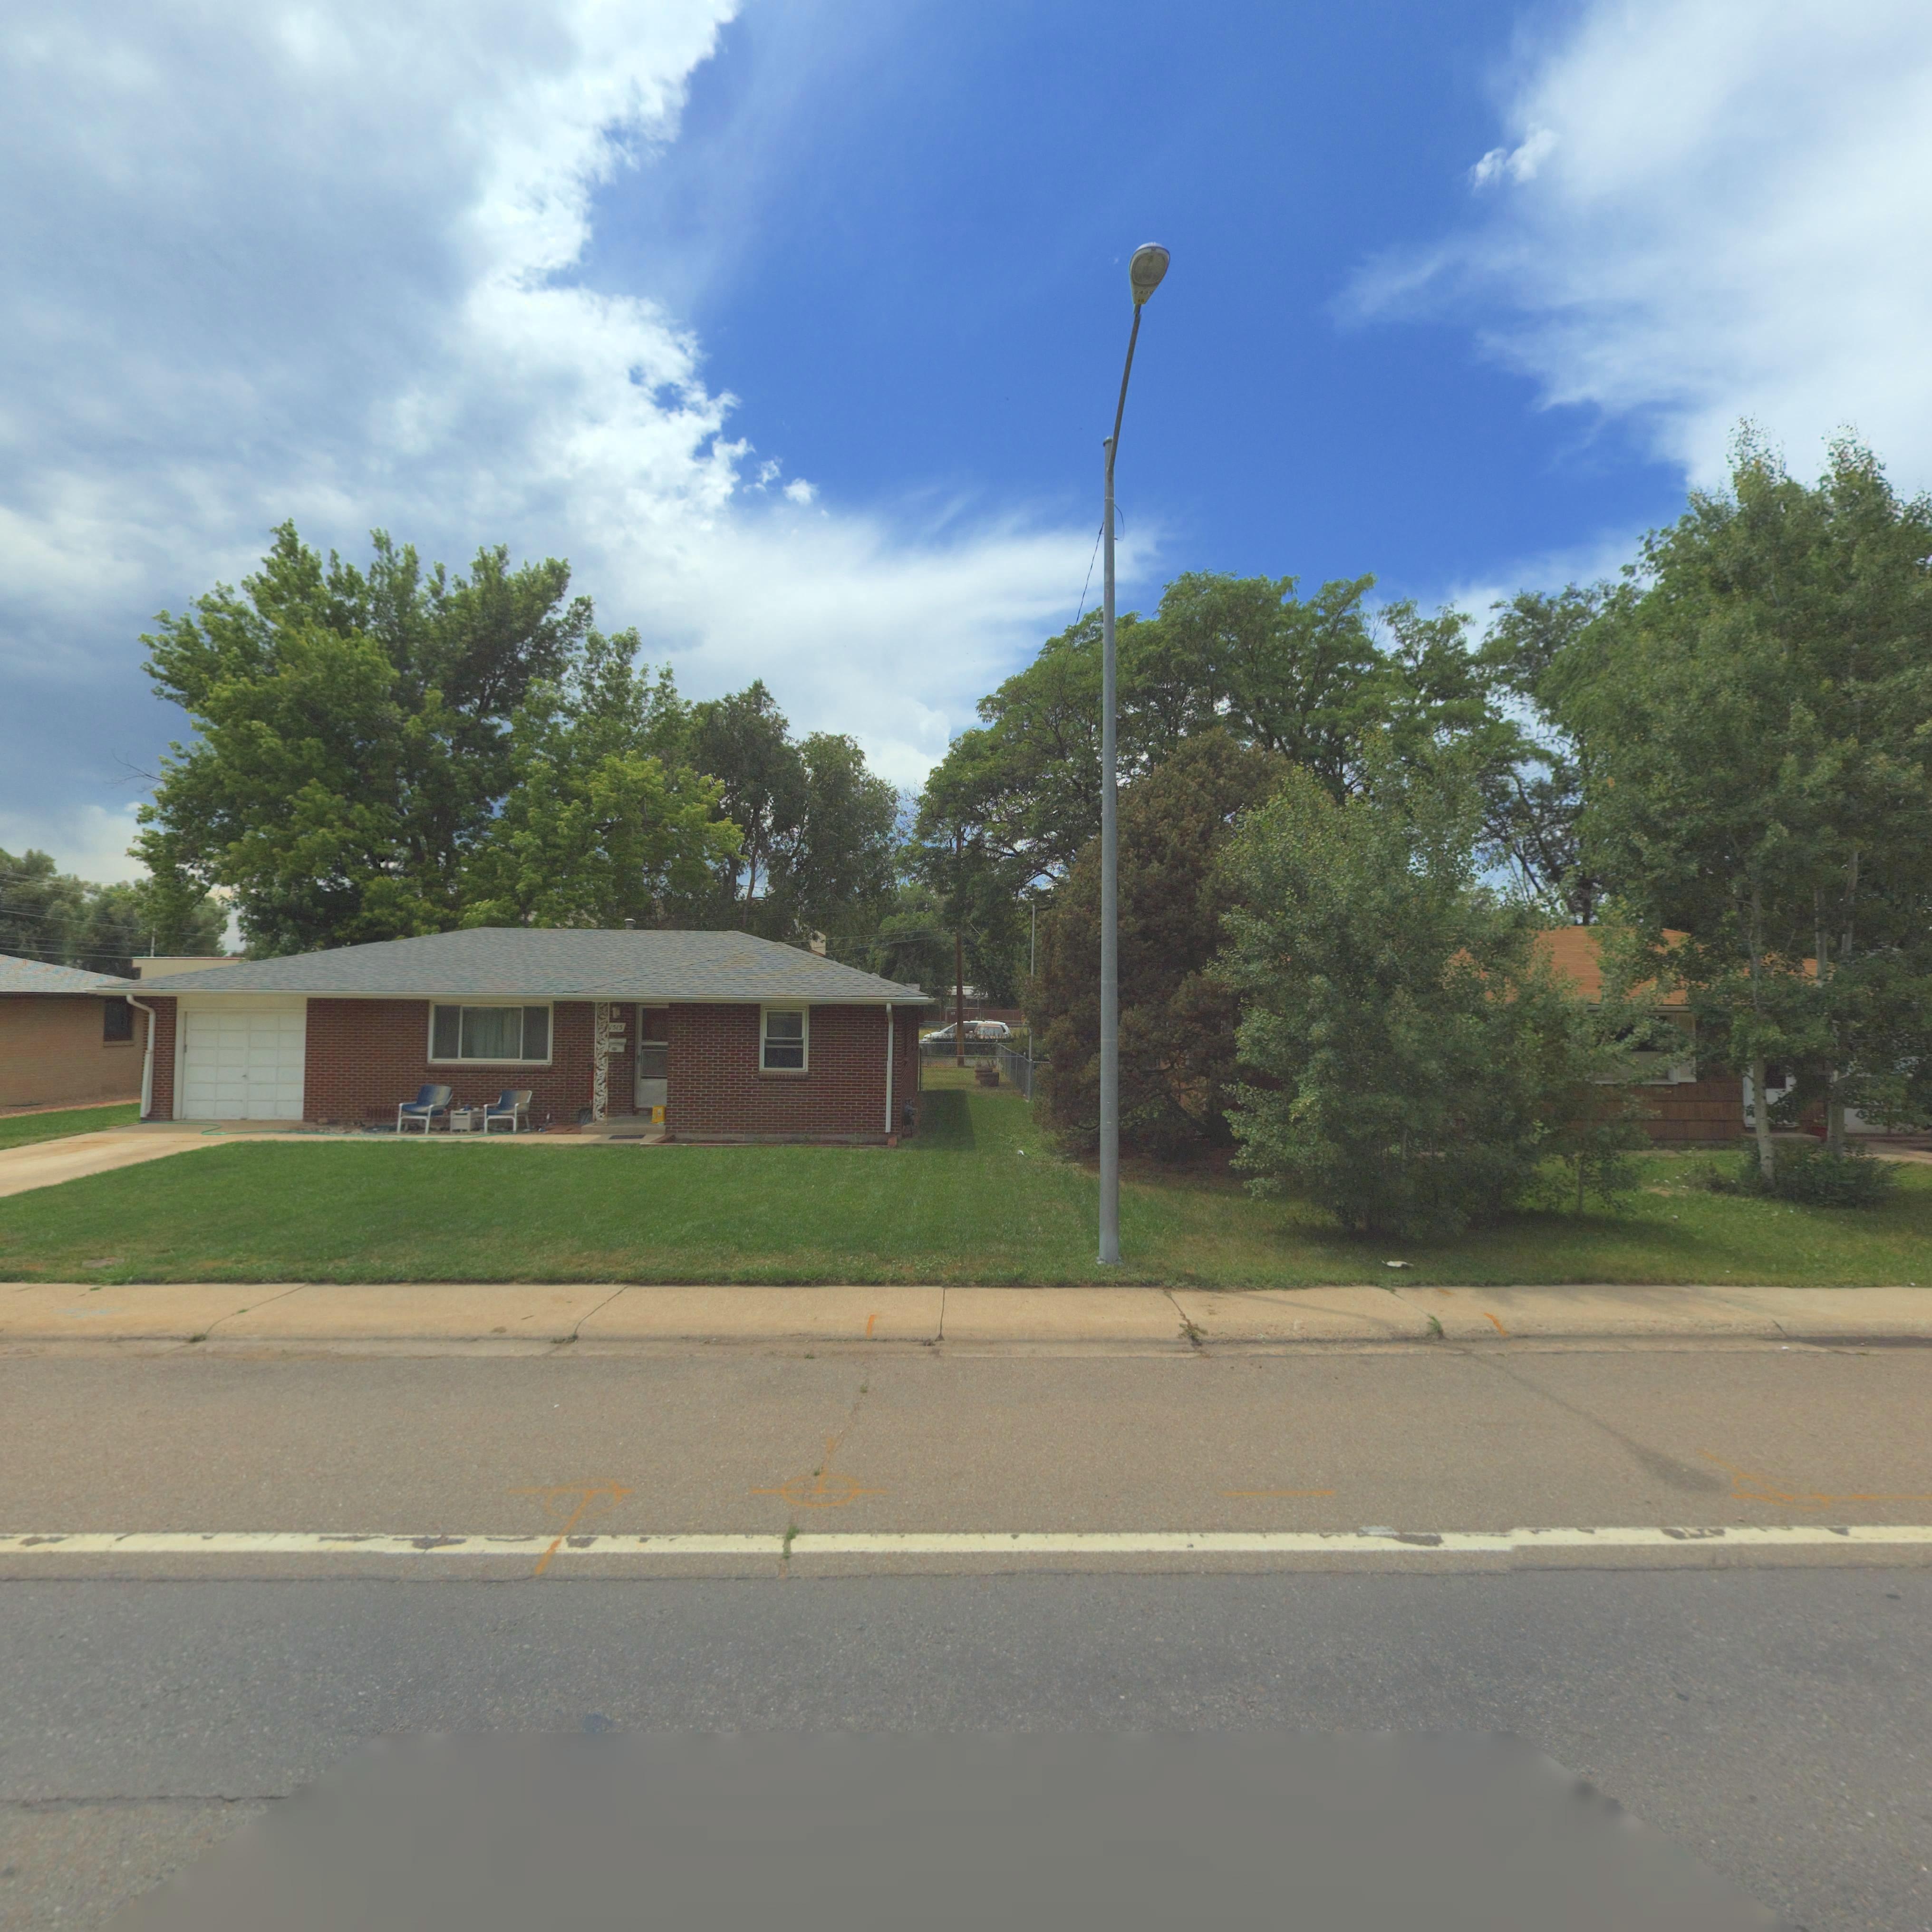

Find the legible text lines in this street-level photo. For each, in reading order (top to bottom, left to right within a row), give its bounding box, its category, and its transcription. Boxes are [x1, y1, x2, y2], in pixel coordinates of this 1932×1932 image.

[609, 1024, 623, 1030] StreetNumber: 1515